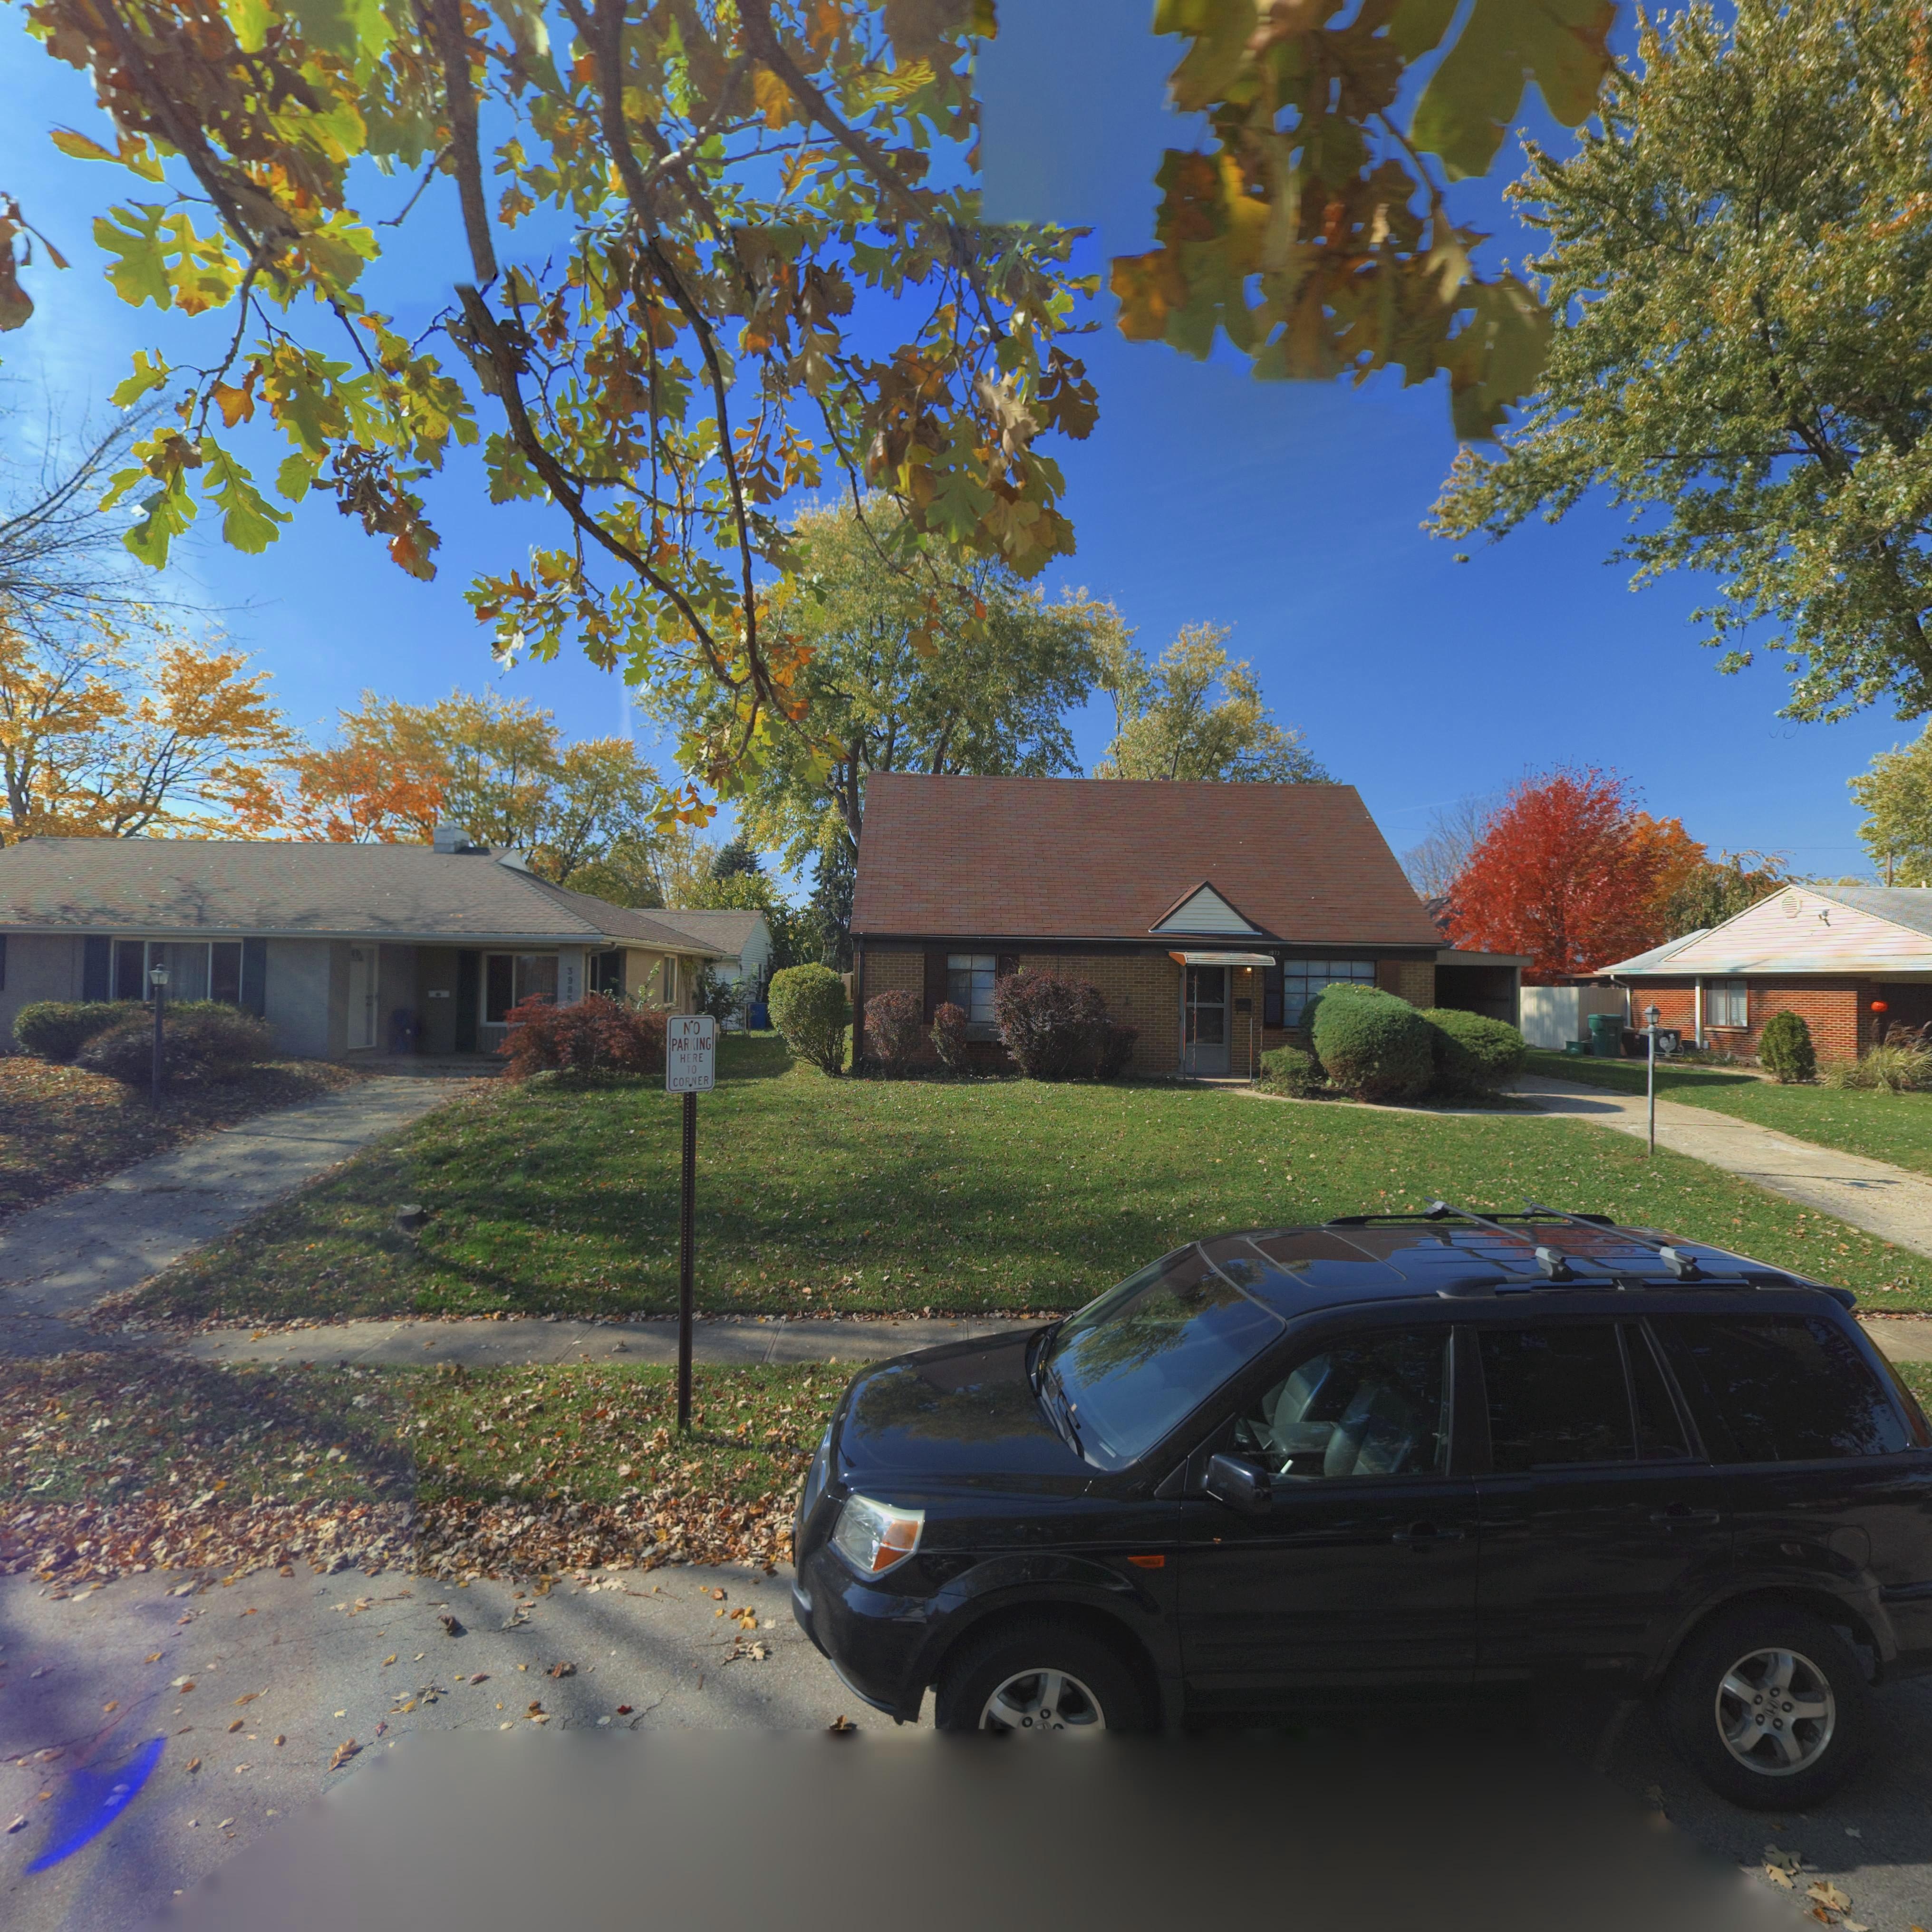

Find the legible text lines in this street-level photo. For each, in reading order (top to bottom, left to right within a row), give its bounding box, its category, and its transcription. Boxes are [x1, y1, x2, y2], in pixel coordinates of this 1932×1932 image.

[565, 966, 574, 1005] StreetNumber: 3985
[682, 1020, 701, 1036] None: NO
[670, 1035, 713, 1053] None: PARKING
[679, 1051, 705, 1064] None: HERE
[685, 1063, 698, 1075] None: TO
[672, 1074, 710, 1088] None: CORNER